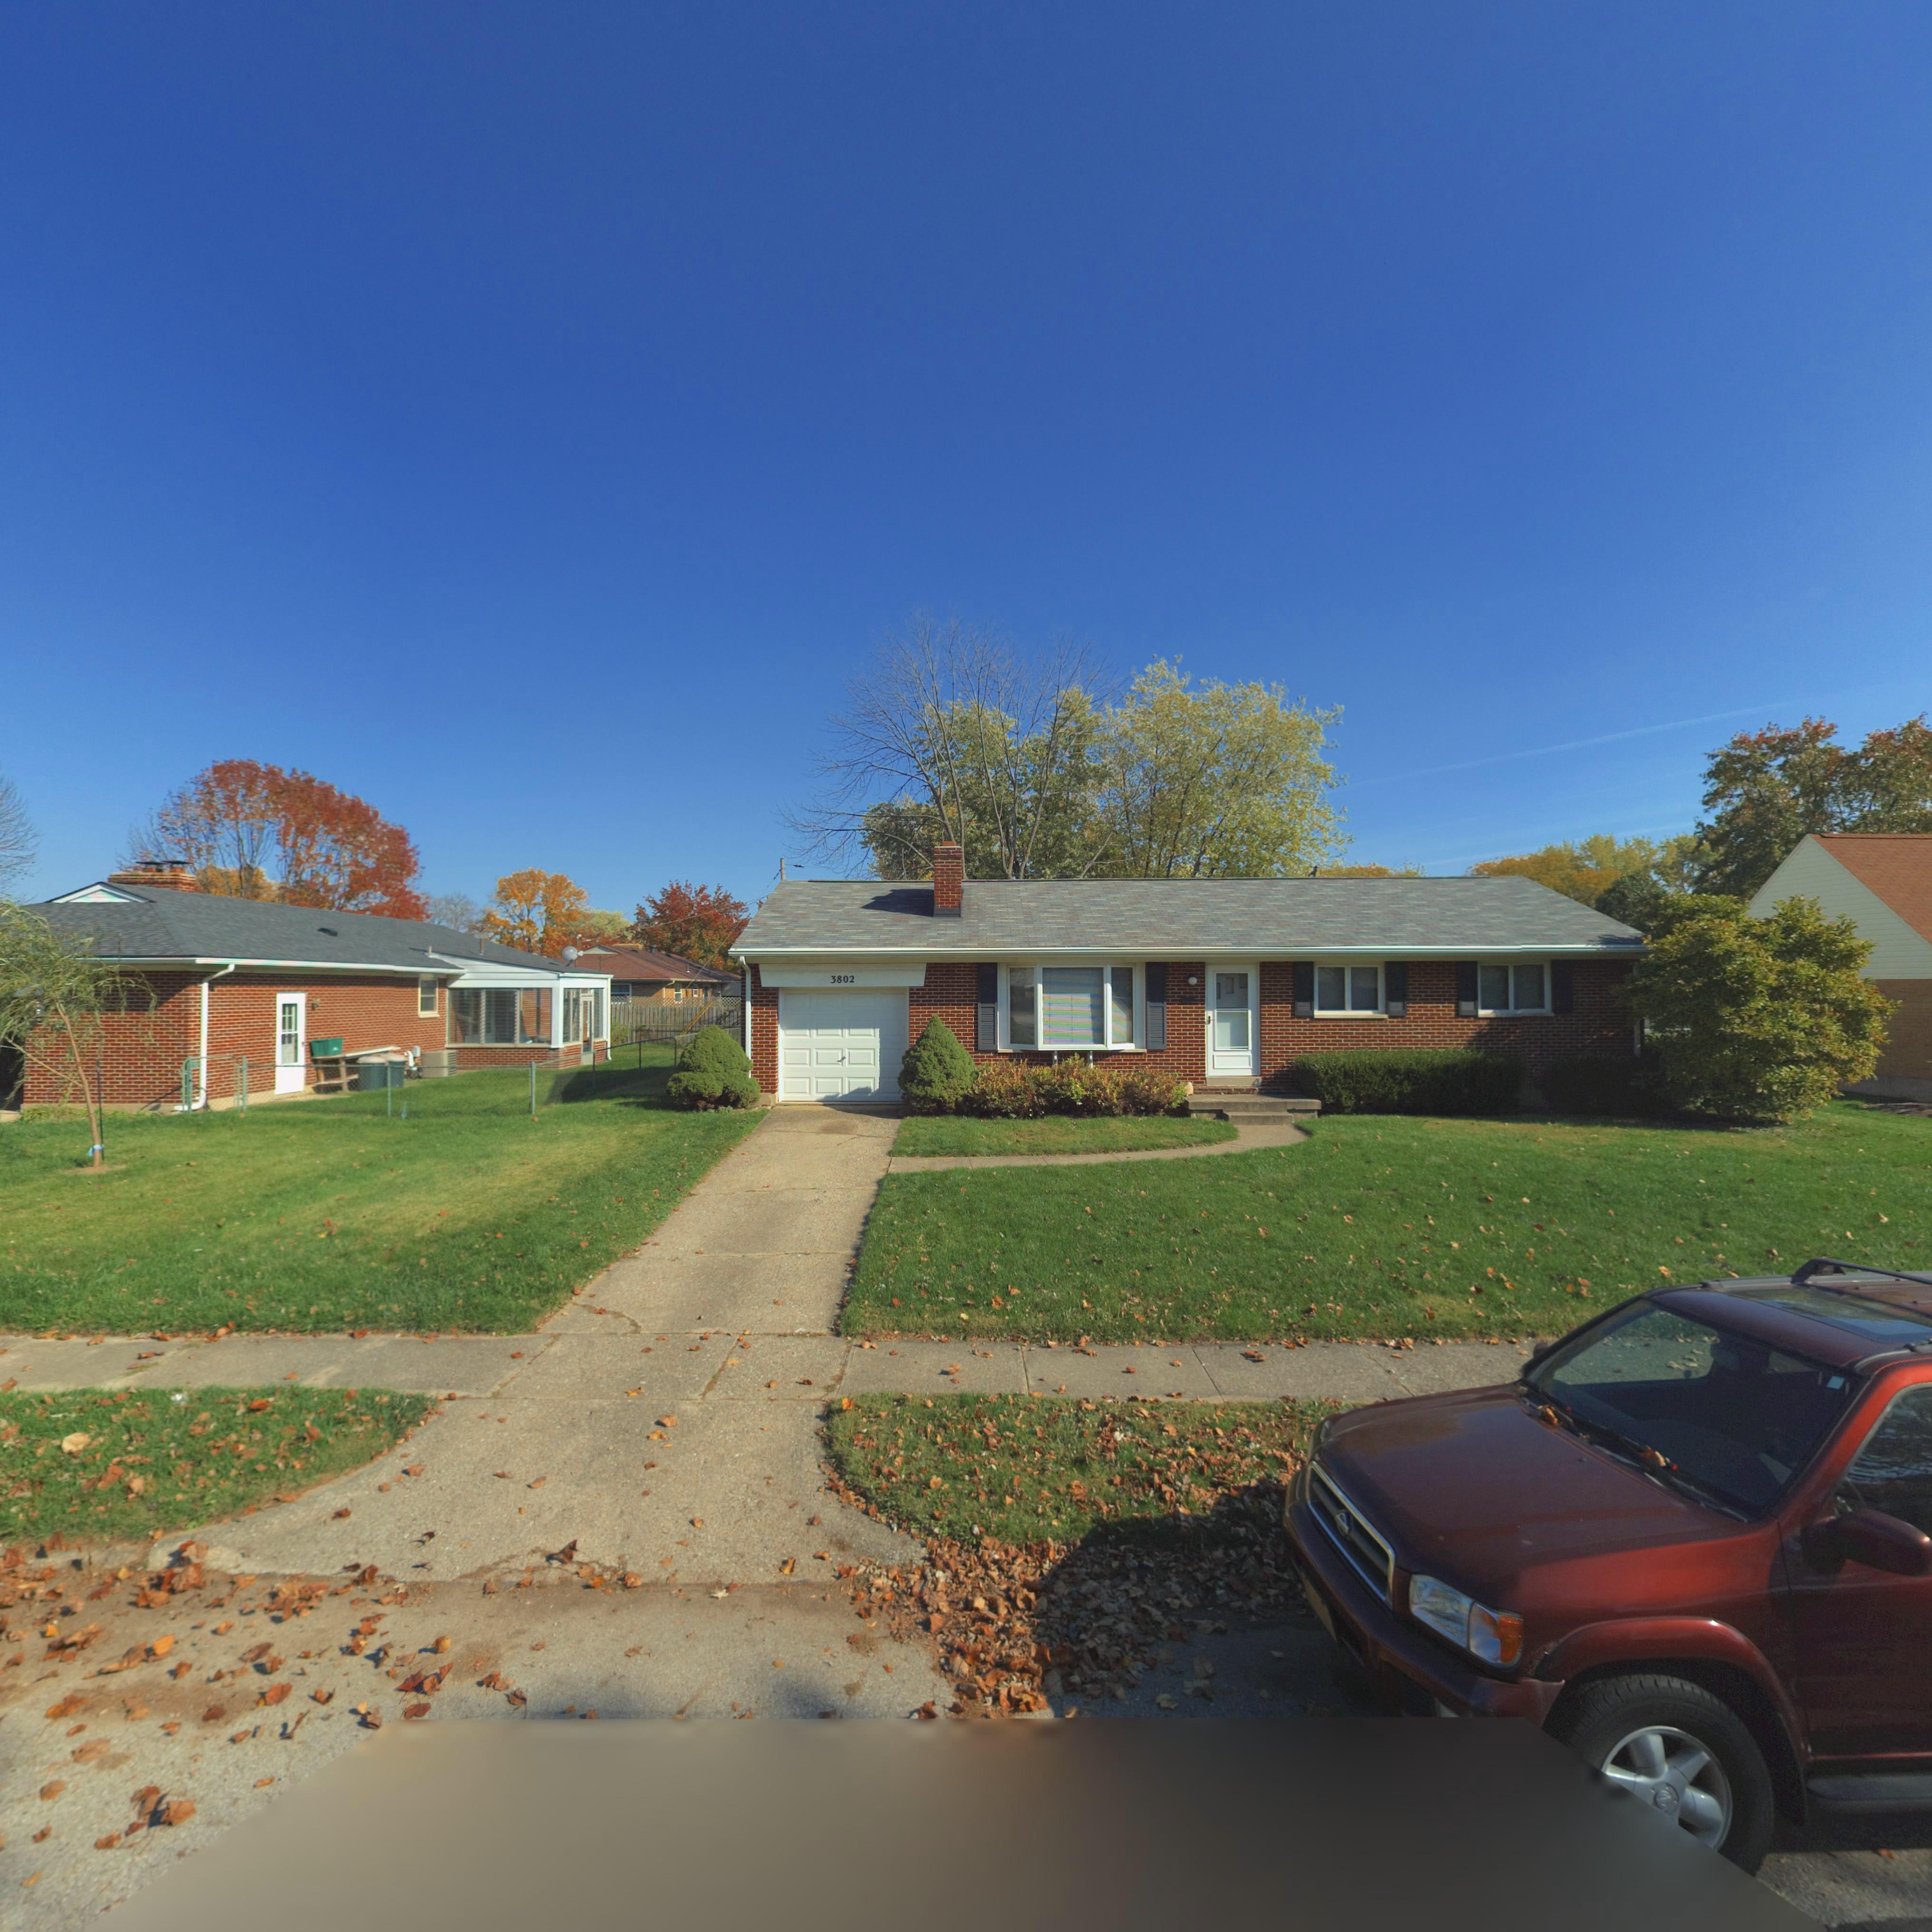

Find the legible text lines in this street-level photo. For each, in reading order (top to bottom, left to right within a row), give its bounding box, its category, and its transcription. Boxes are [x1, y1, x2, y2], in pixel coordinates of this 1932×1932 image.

[830, 975, 855, 984] StreetNumber: 3802